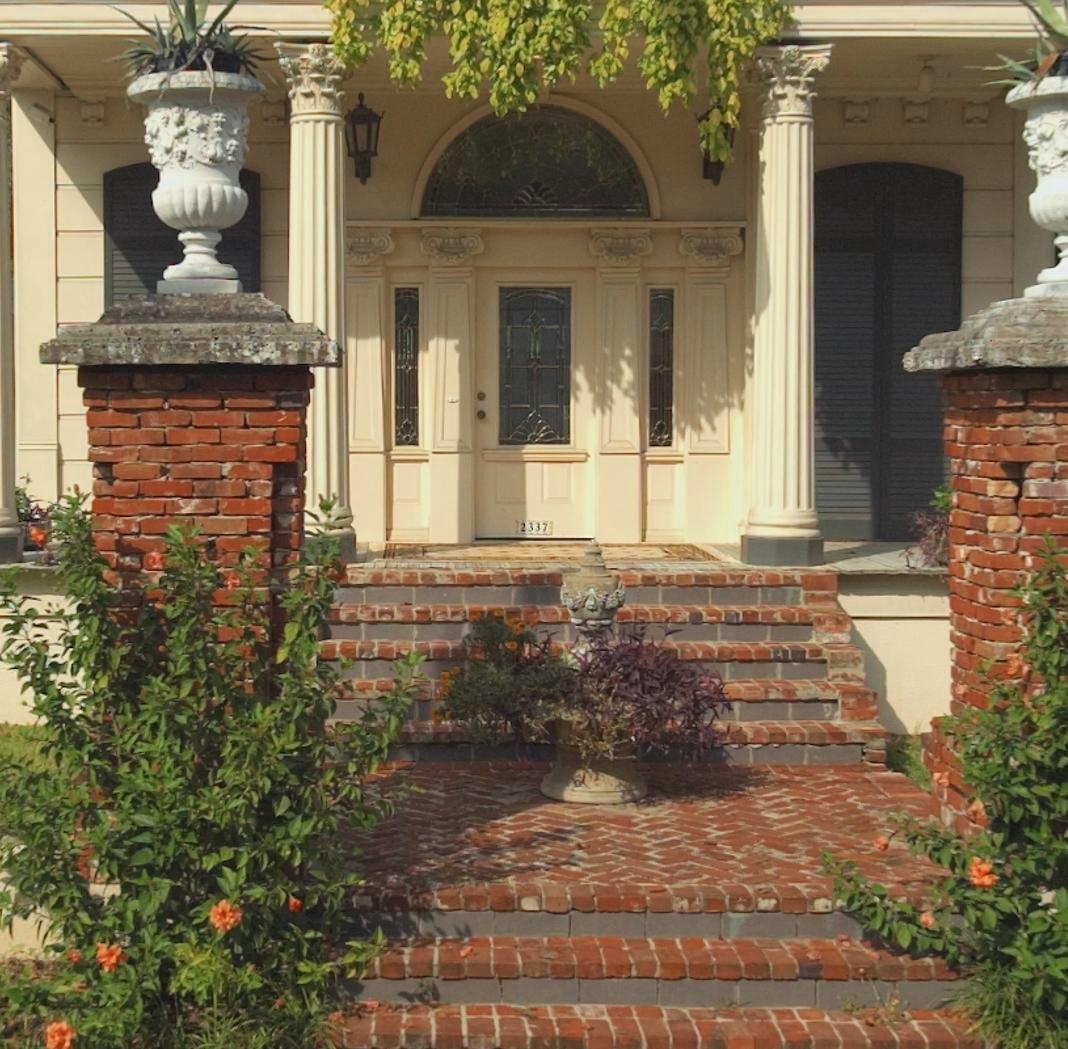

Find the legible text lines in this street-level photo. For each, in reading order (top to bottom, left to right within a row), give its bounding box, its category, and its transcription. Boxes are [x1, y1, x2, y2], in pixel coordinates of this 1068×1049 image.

[517, 519, 550, 535] StreetNumber: 2337